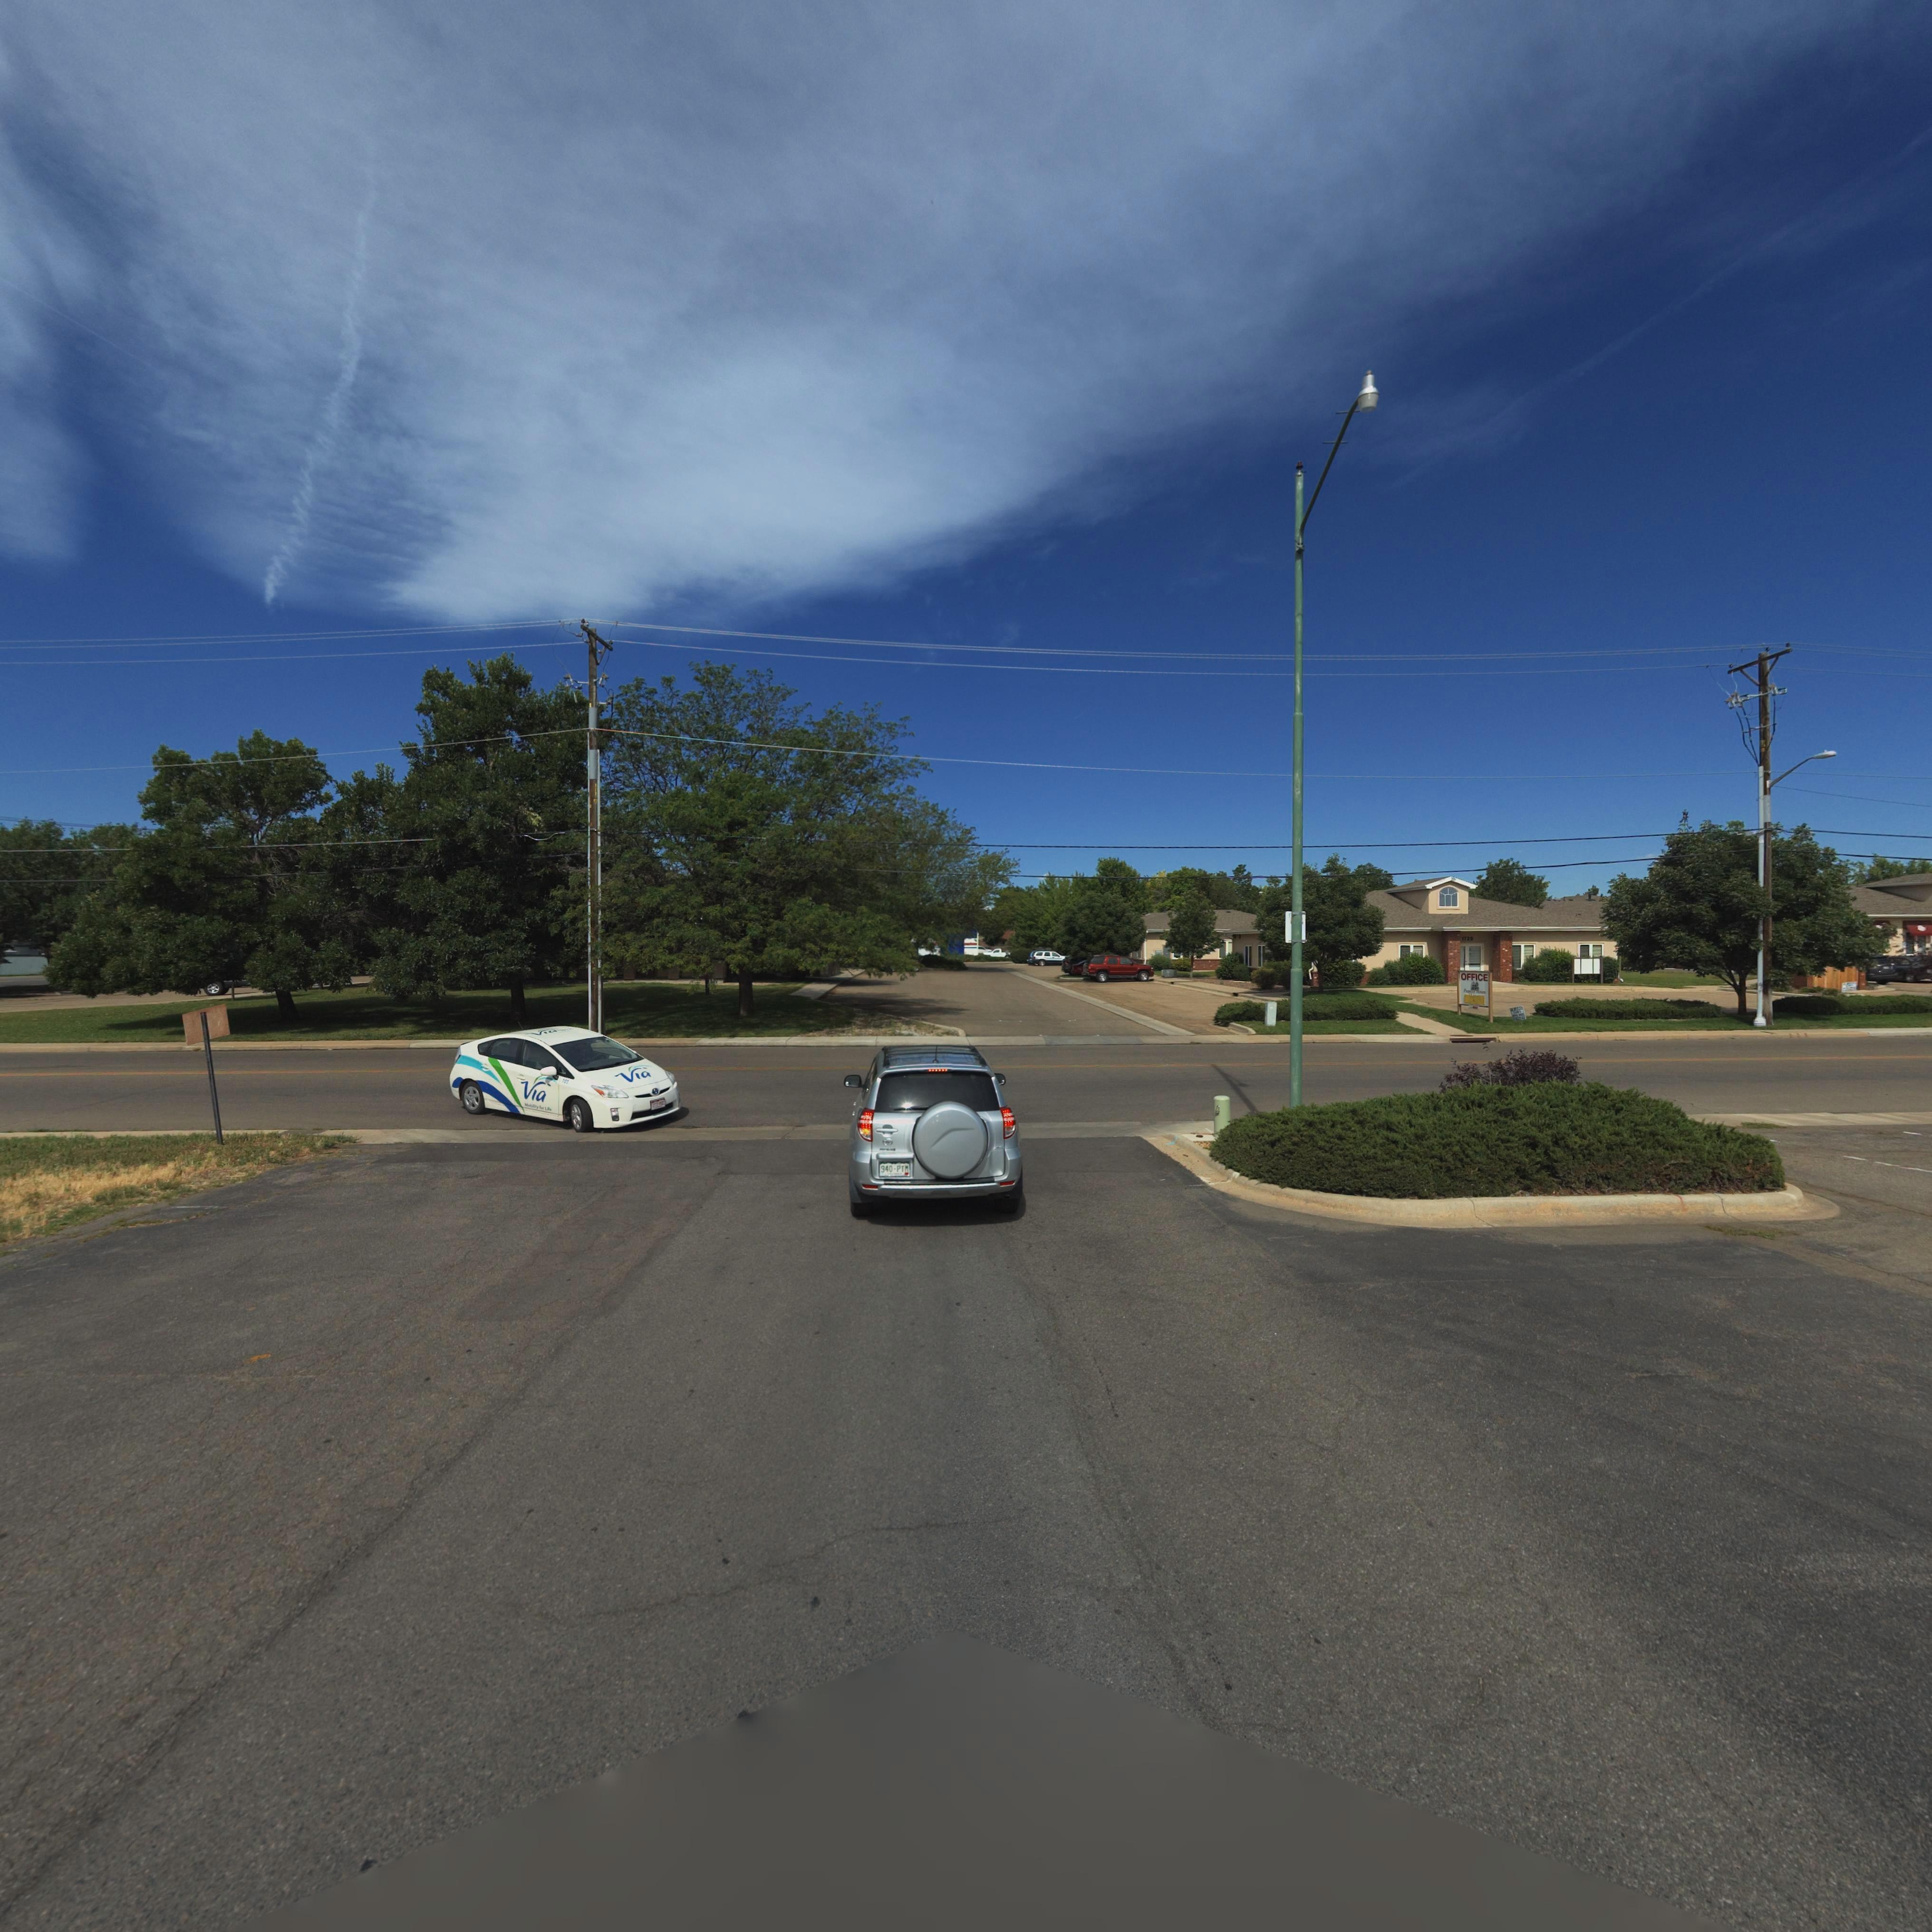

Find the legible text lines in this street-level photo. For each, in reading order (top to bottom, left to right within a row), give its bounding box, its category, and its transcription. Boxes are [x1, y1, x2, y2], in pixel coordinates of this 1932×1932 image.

[1461, 936, 1473, 941] StreetNumber: 1720